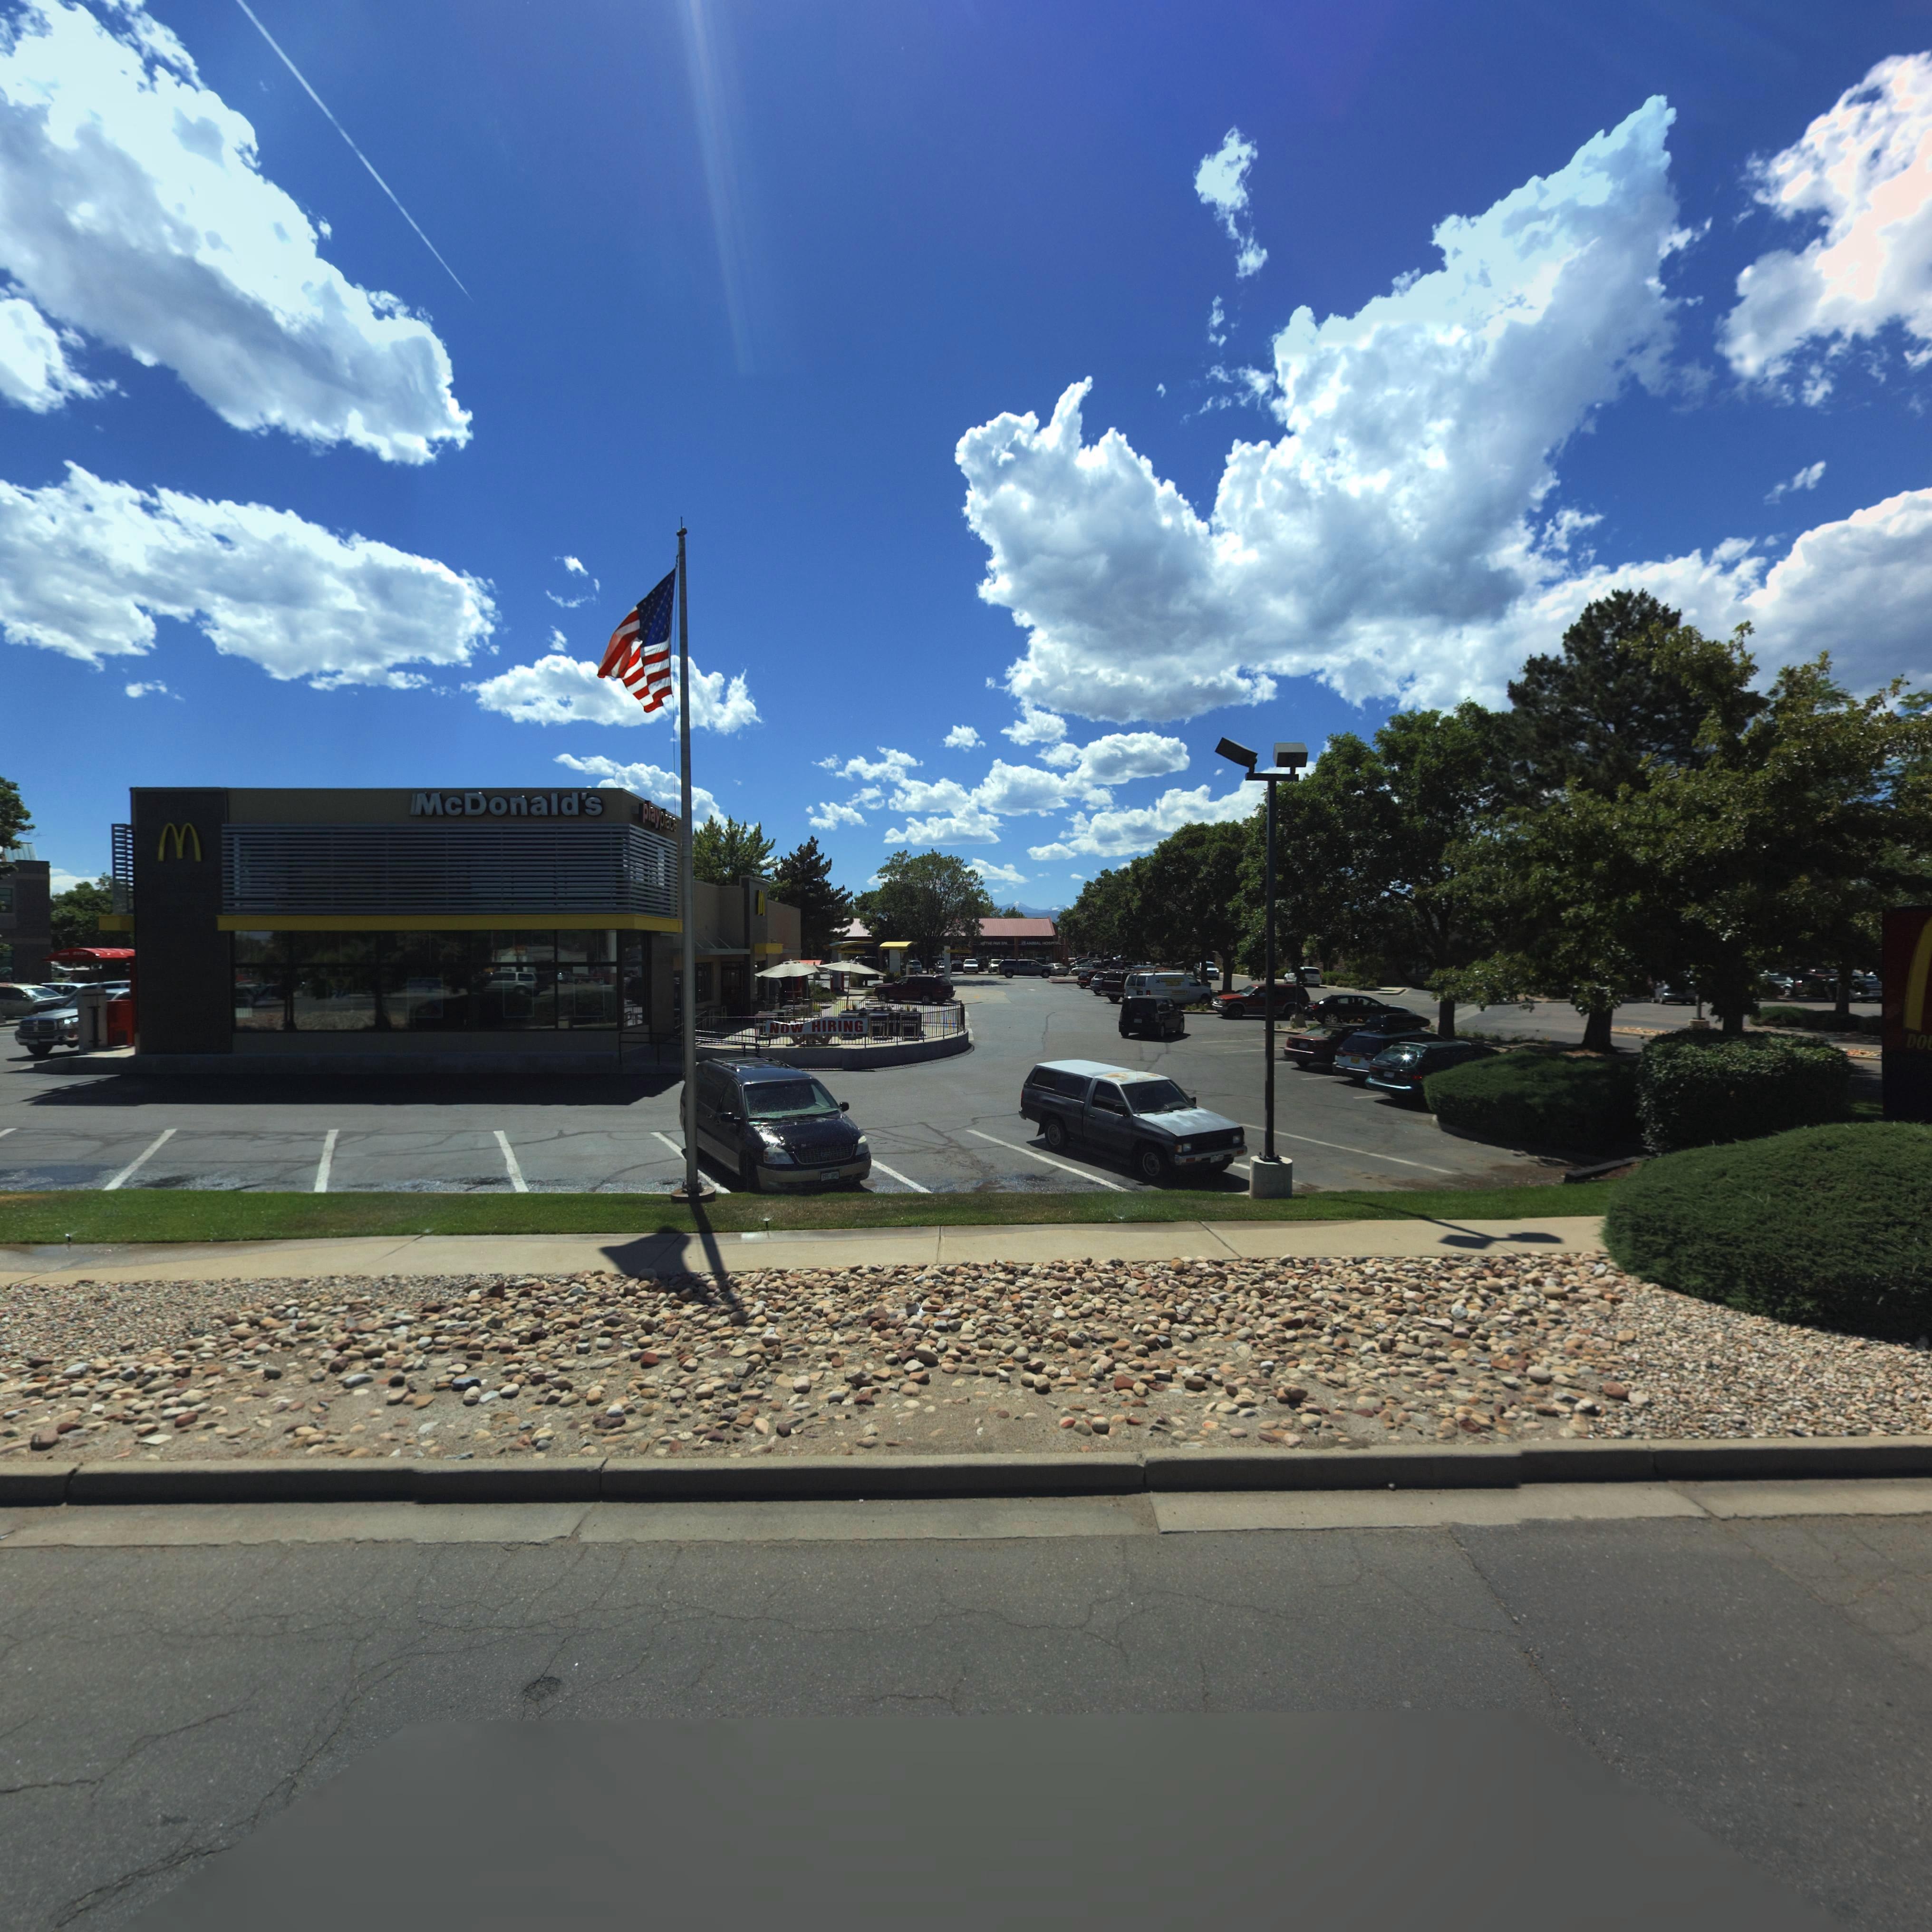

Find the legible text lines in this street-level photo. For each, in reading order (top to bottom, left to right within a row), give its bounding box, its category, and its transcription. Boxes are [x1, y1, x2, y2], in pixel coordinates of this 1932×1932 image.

[408, 789, 606, 817] BusinessName: McDonald*s